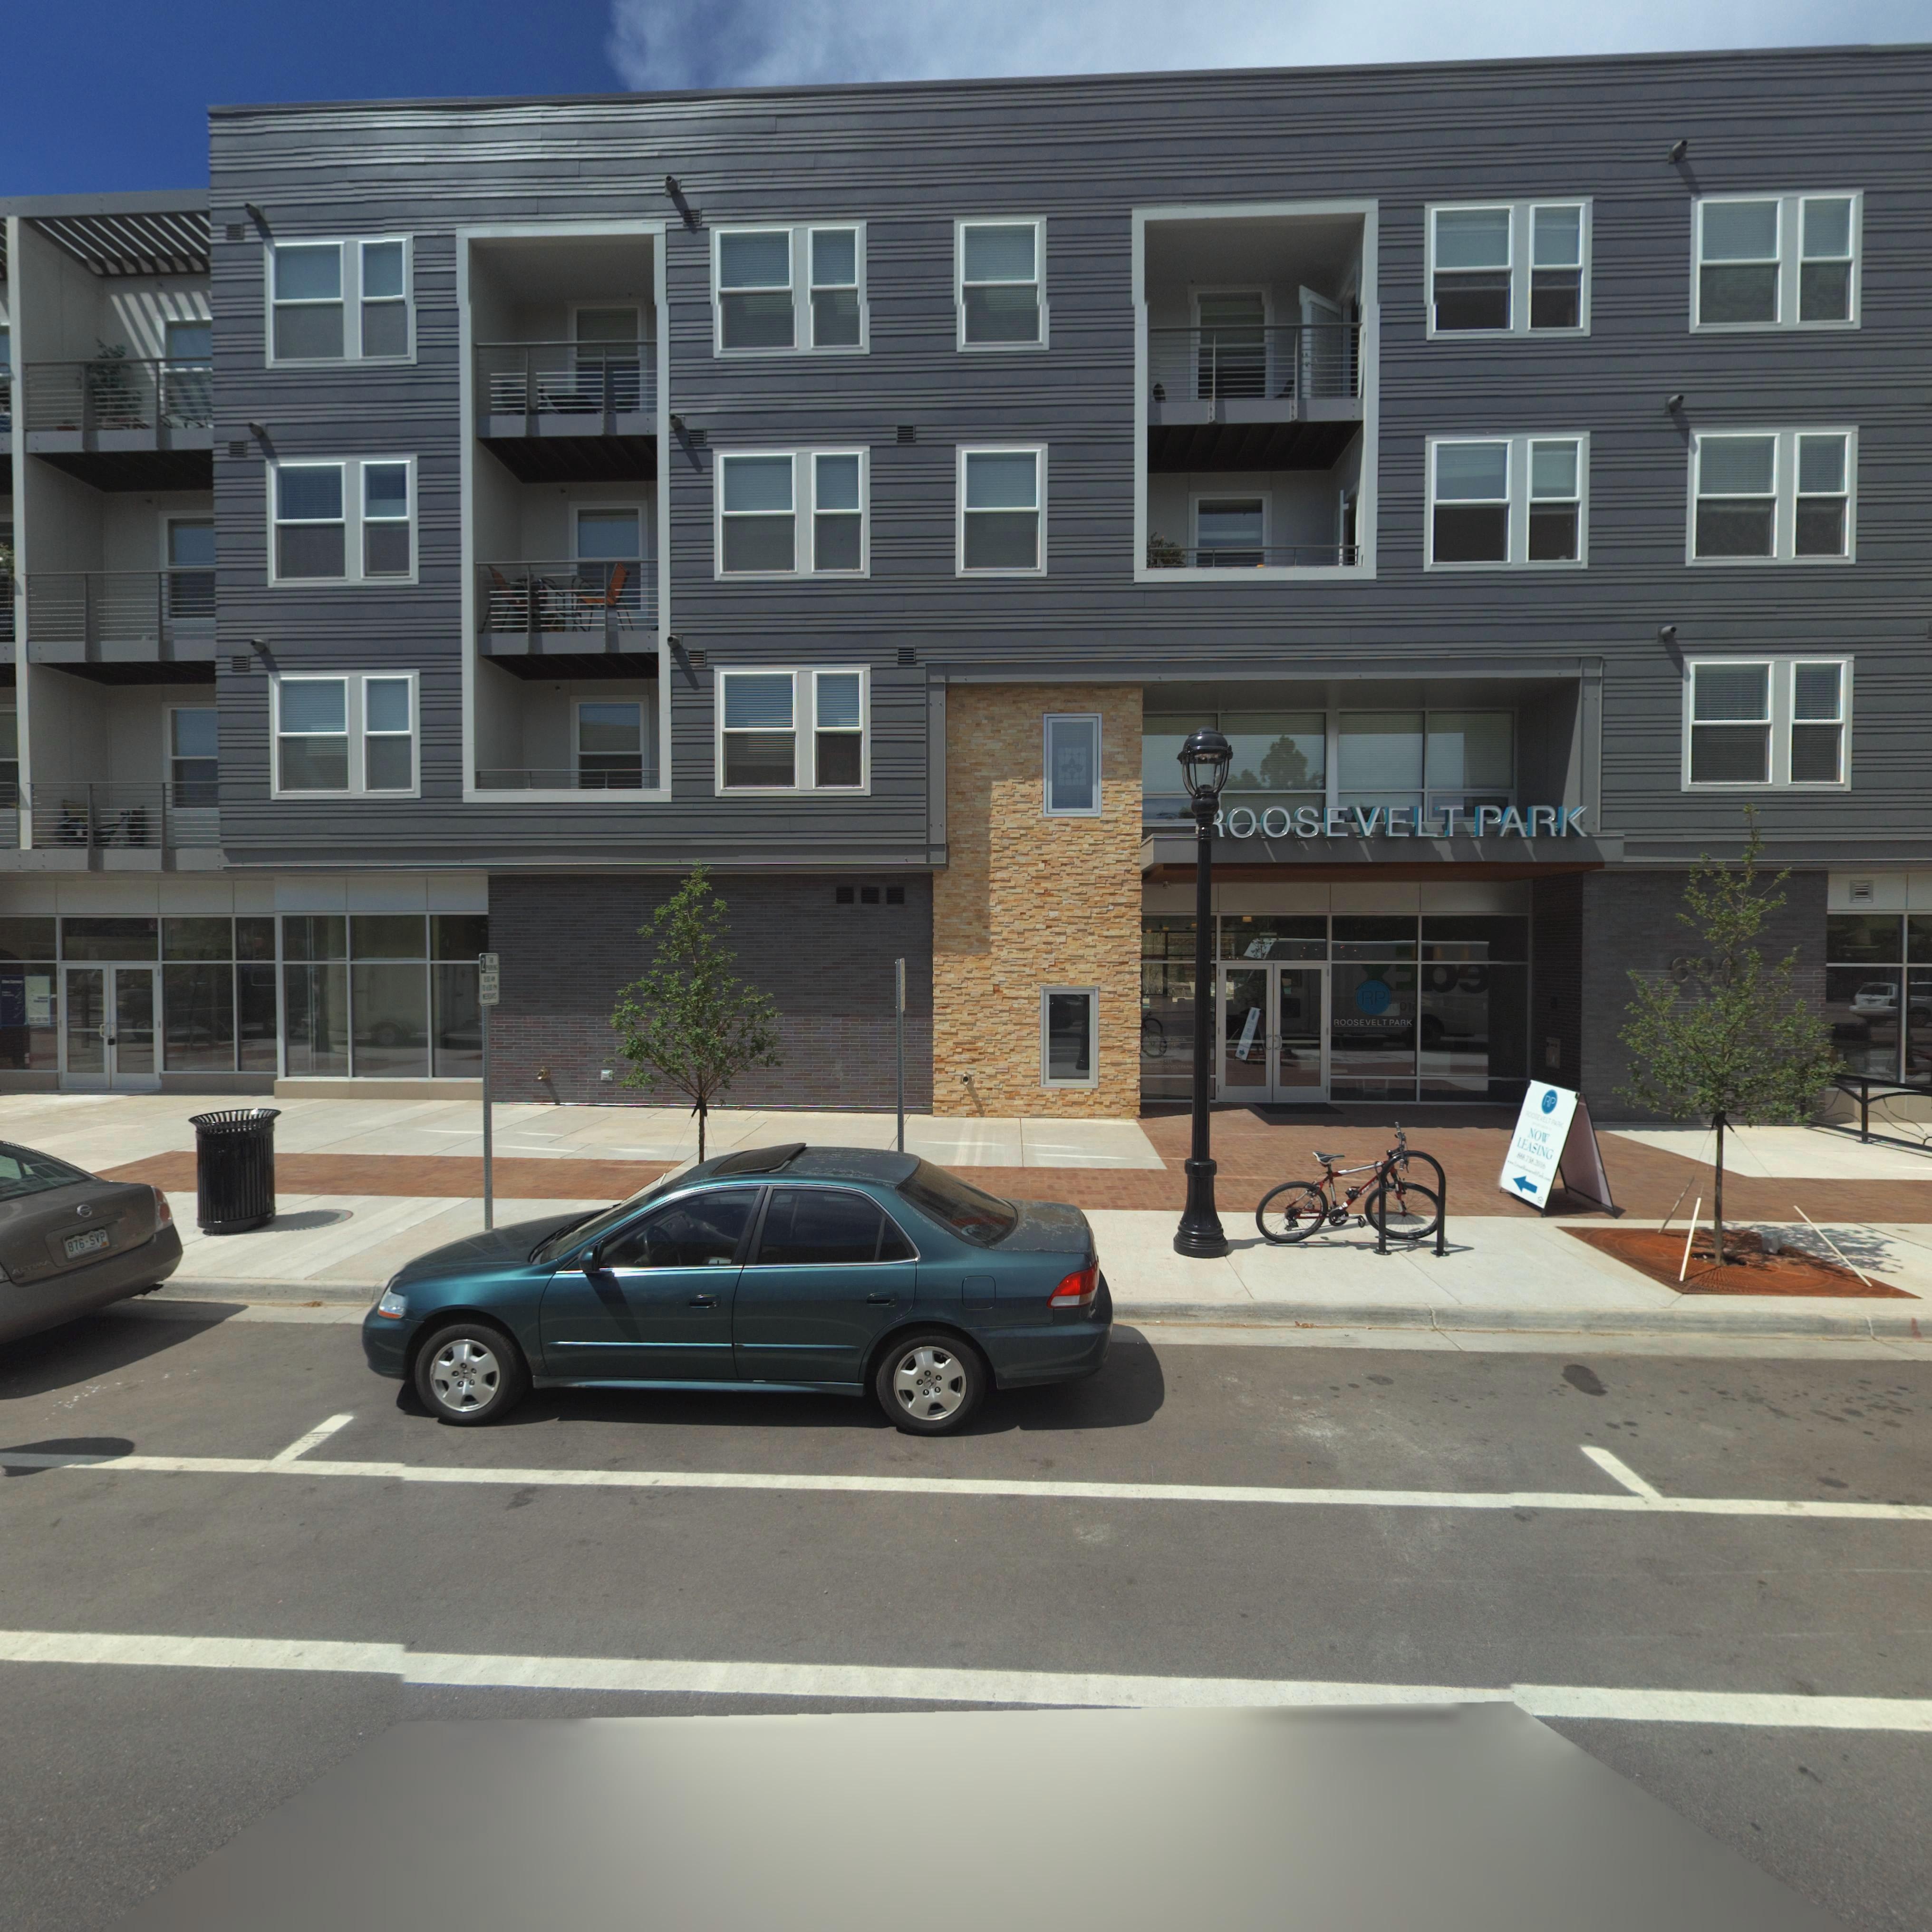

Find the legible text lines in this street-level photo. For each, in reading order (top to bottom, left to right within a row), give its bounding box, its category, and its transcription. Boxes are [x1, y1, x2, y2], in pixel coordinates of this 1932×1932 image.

[1212, 806, 1590, 837] BusinessName: *OOSEVELT PARK
[1263, 950, 1284, 959] StreetNumber: *00
[1671, 956, 1739, 984] StreetNumber: 60*
[1333, 1019, 1413, 1025] BusinessName: ROOSEVELT PARK
[1525, 1111, 1565, 1128] BusinessName: *OOSEVELT PAR*